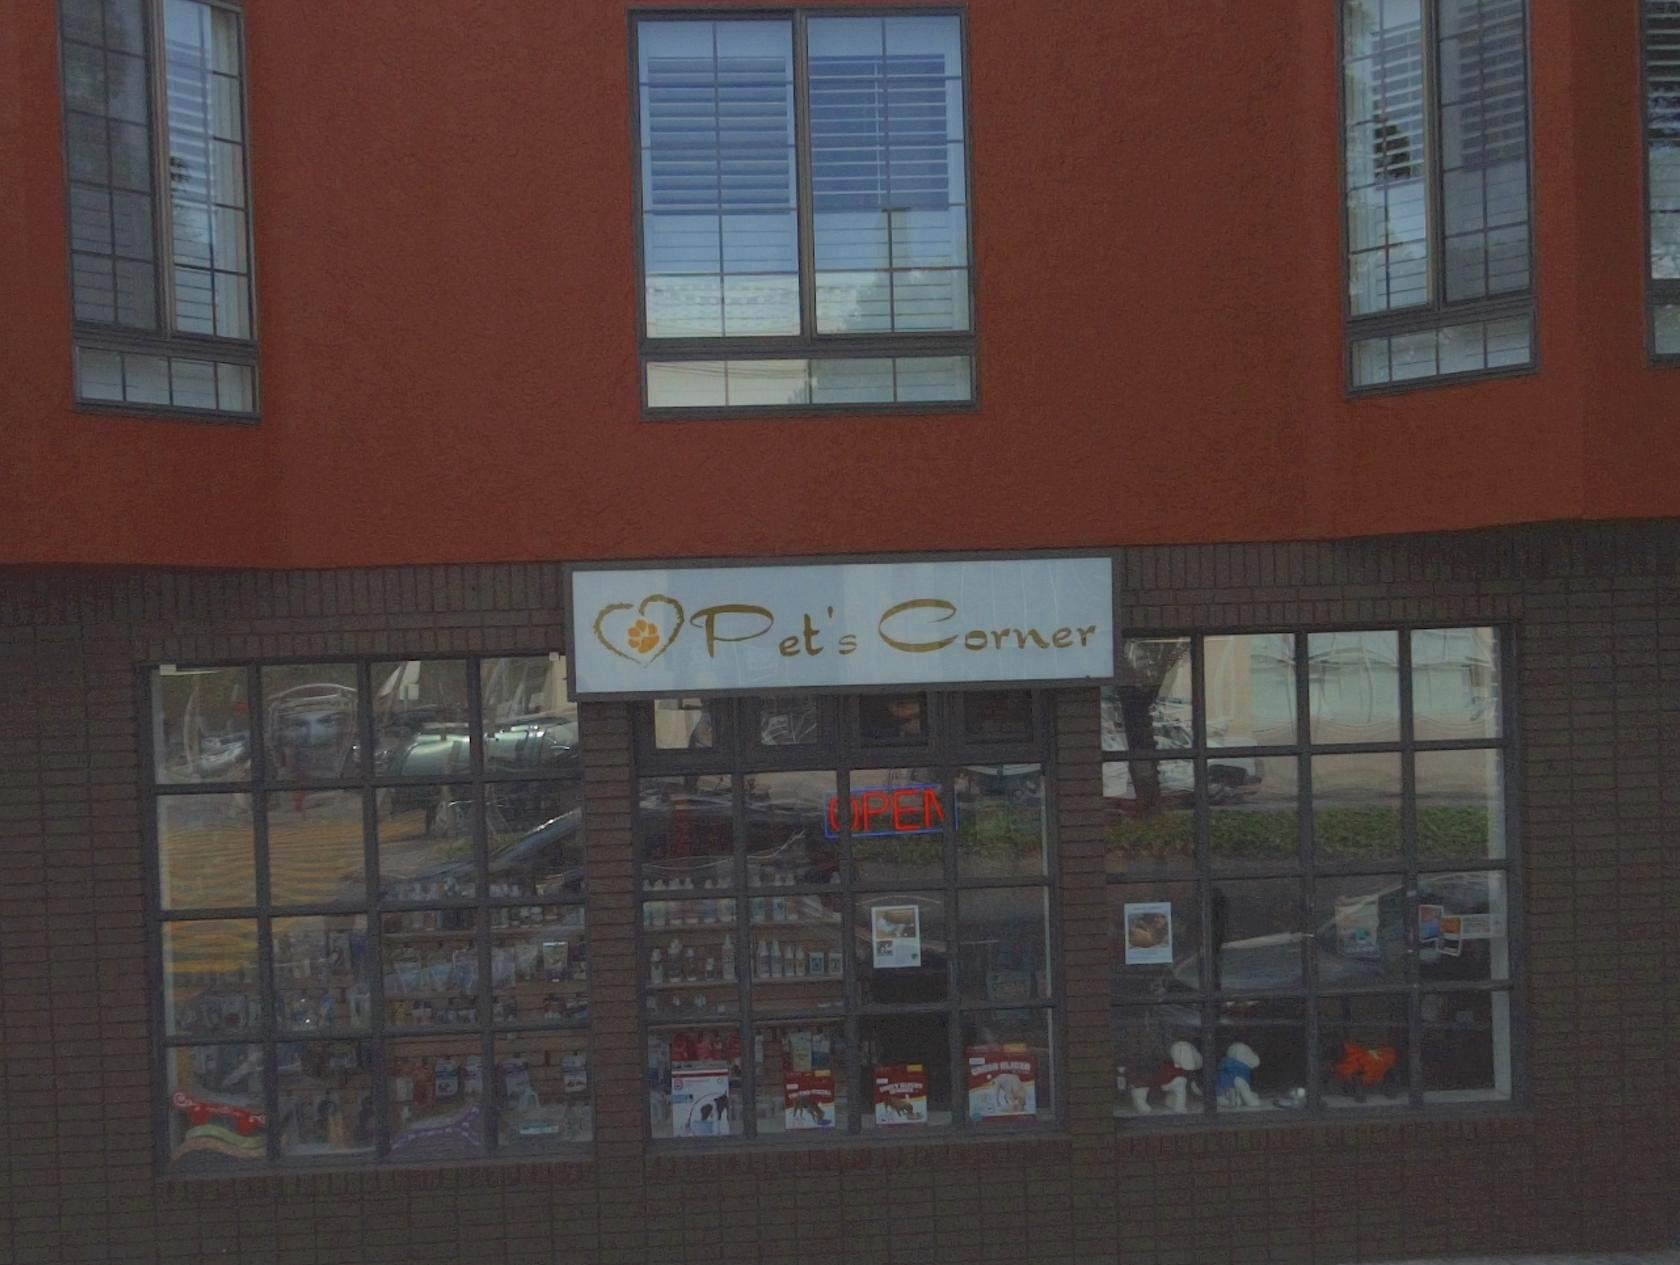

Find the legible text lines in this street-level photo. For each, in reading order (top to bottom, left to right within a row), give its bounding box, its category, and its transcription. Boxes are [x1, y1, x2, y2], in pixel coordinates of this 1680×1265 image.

[687, 597, 1100, 661] BusinessName: Pet's Corner
[822, 783, 956, 834] None: *PE*